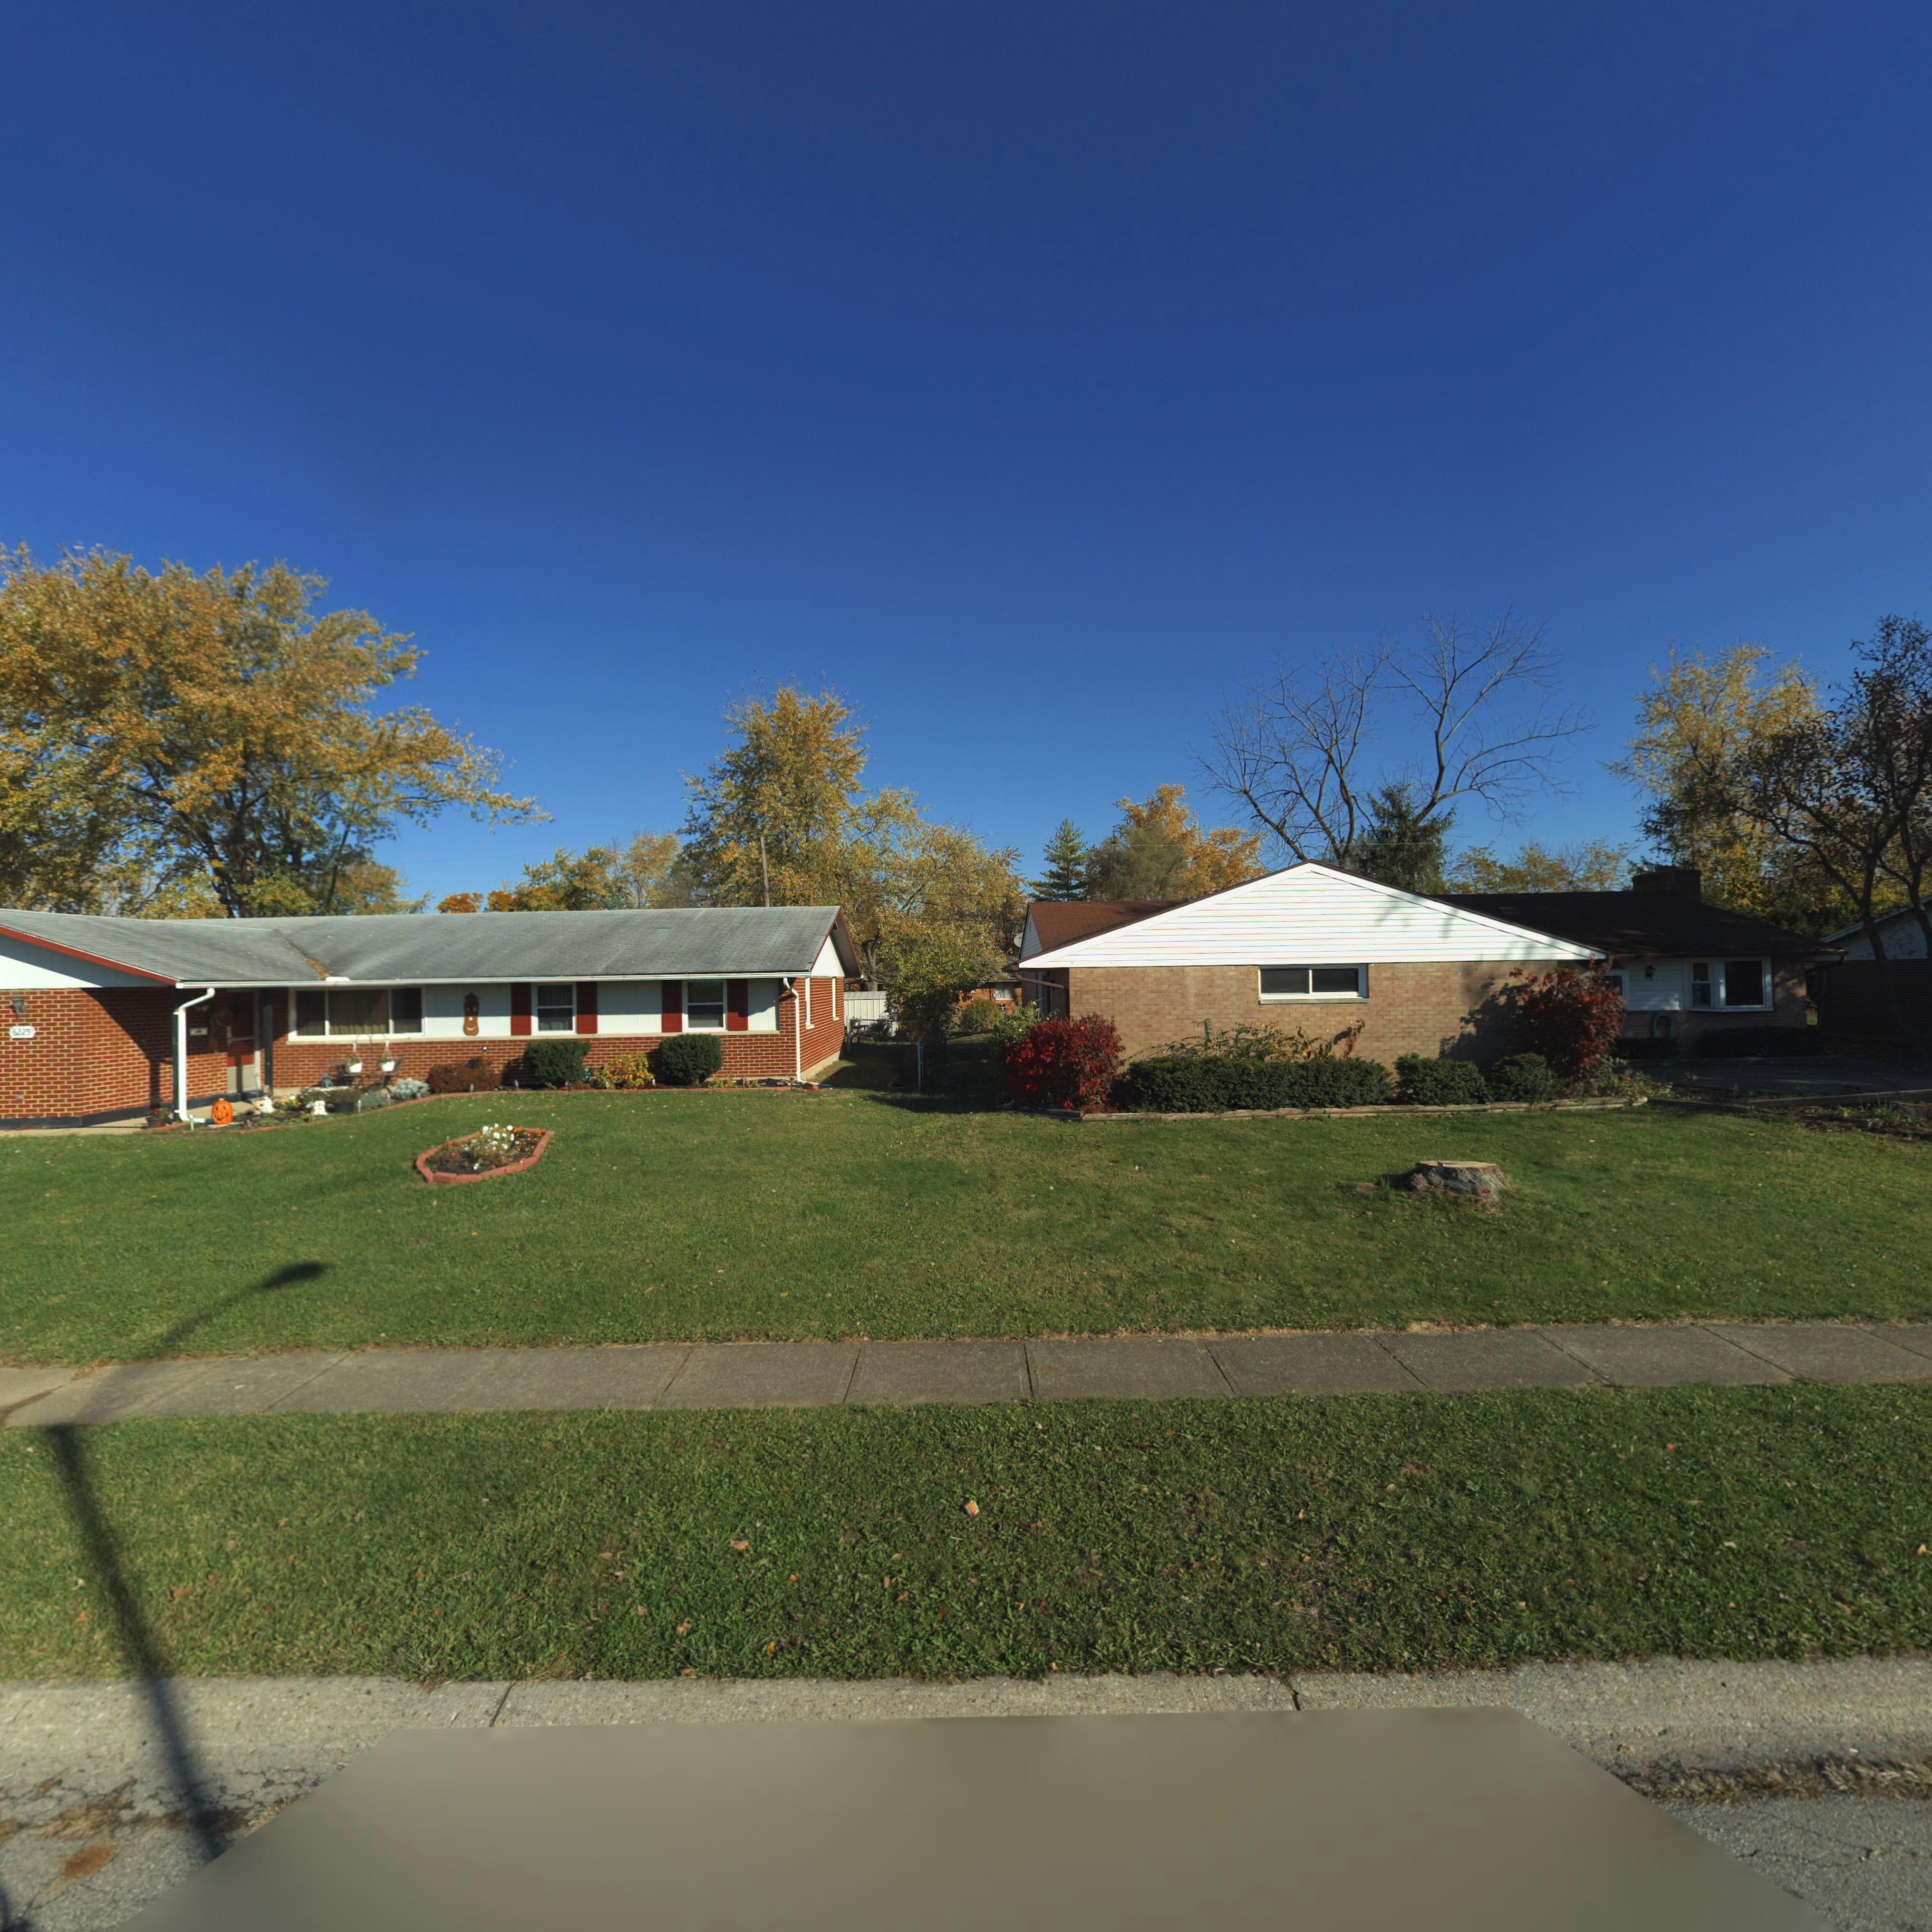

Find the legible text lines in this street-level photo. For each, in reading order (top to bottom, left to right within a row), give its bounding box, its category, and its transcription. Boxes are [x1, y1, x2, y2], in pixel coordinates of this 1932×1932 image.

[11, 1028, 32, 1036] StreetNumber: 6225